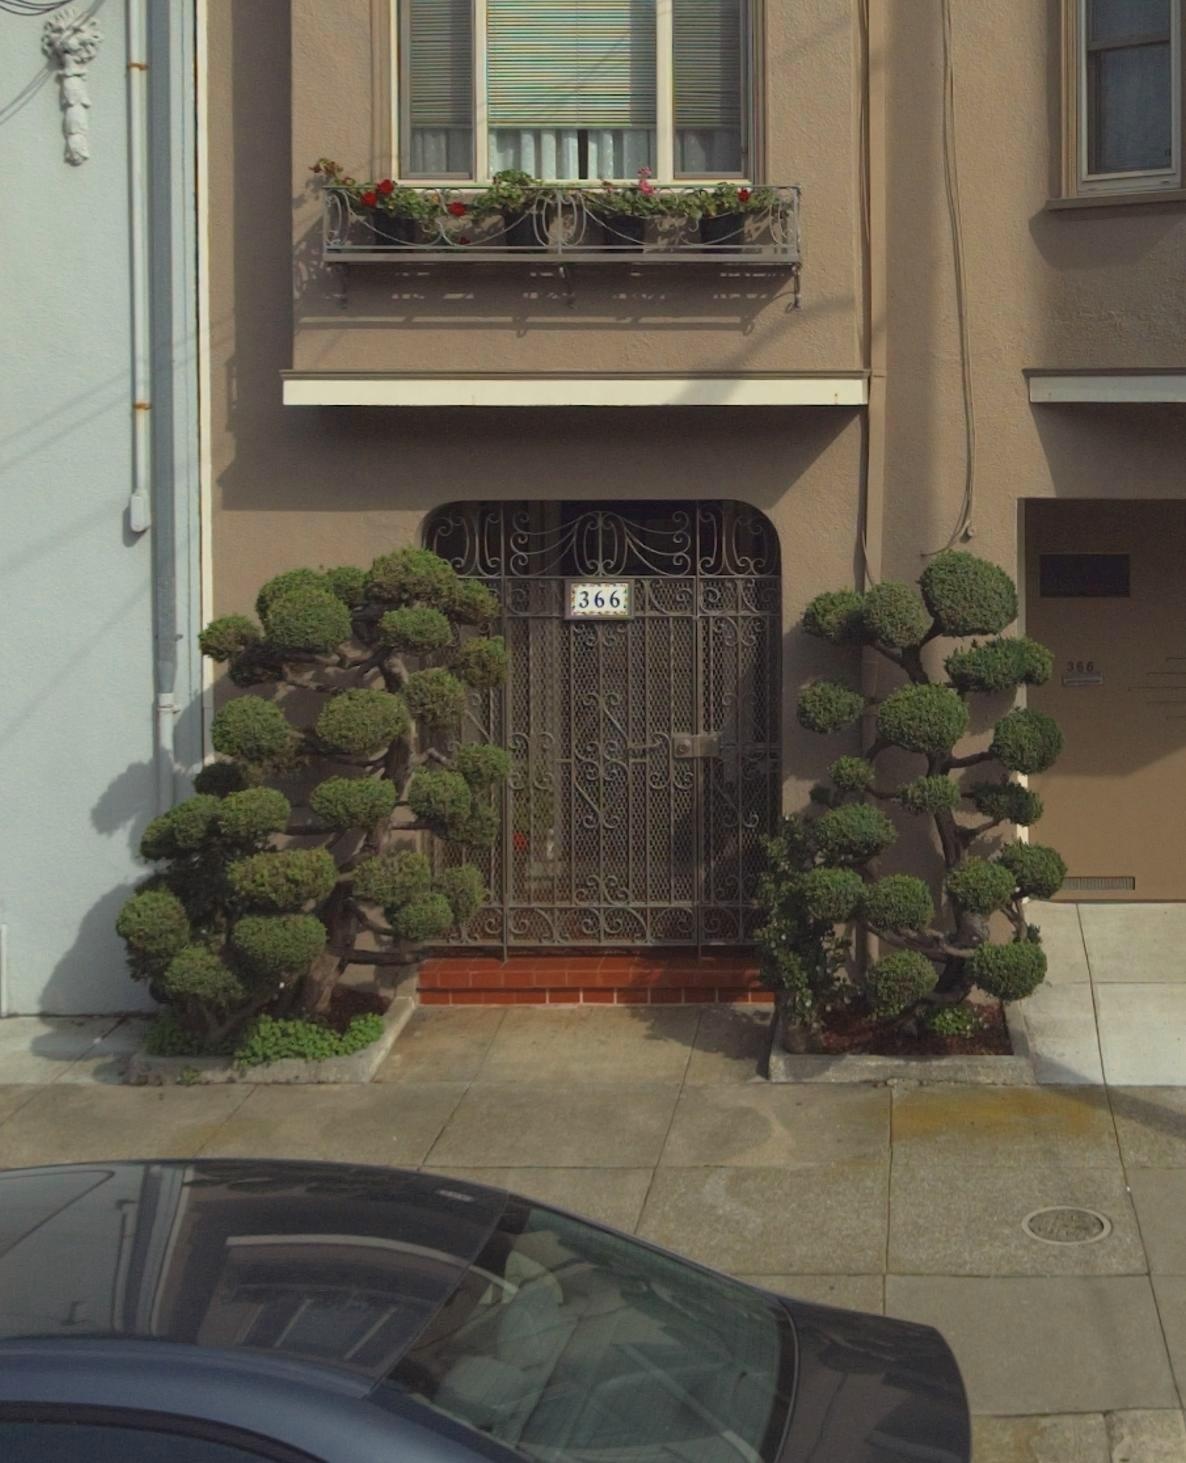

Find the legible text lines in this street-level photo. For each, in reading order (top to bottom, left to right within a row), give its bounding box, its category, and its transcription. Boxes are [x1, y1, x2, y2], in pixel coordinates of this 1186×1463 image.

[576, 589, 622, 610] StreetNumber: 366
[1065, 660, 1095, 673] StreetNumber: 366